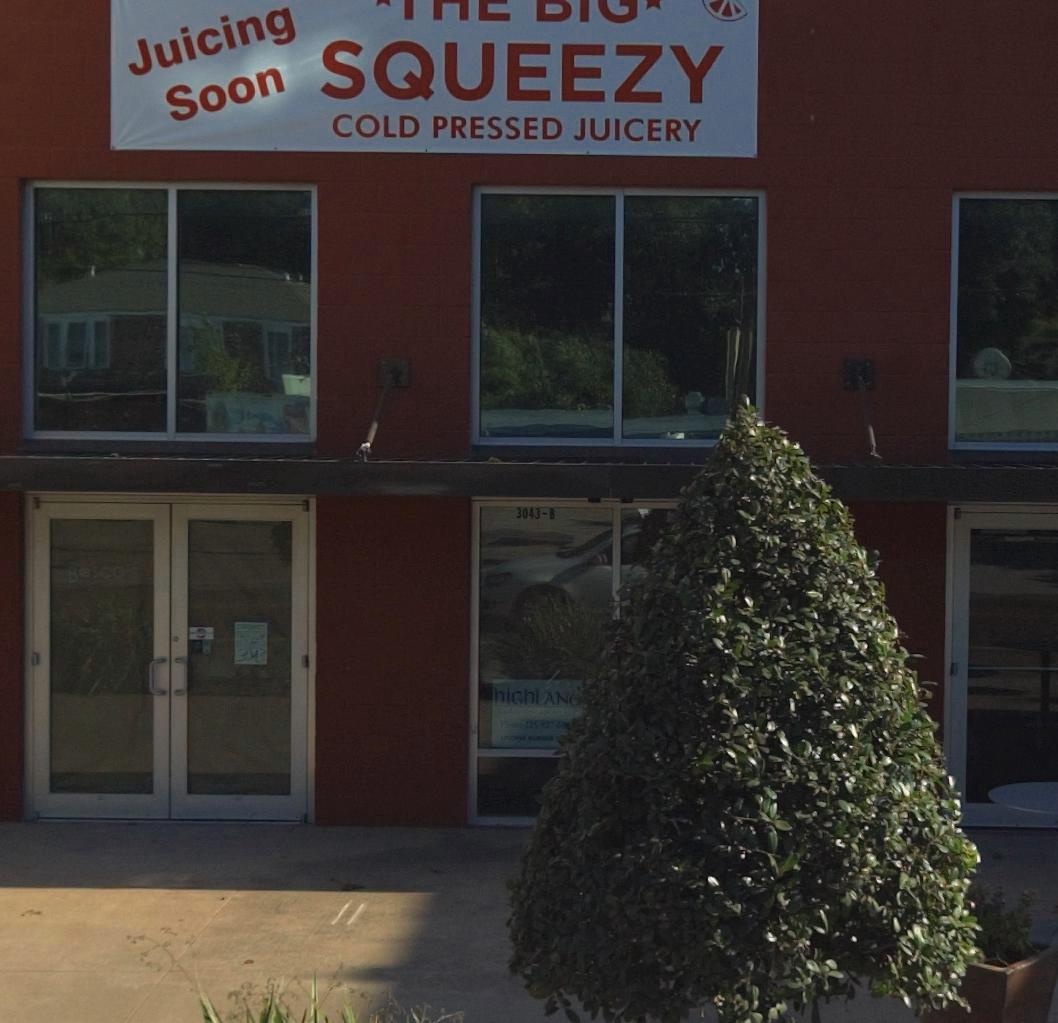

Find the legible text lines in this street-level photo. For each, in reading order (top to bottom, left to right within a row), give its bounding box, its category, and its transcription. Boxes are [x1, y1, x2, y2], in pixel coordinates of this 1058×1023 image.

[125, 3, 301, 81] None: Juicing
[161, 62, 295, 130] None: Soon
[327, 108, 709, 146] None: COLD PRESSED JUICERY
[317, 33, 731, 113] BusinessName: SQUEEZY
[514, 505, 558, 521] StreetNumber: 3043-B
[492, 684, 572, 709] None: highlan